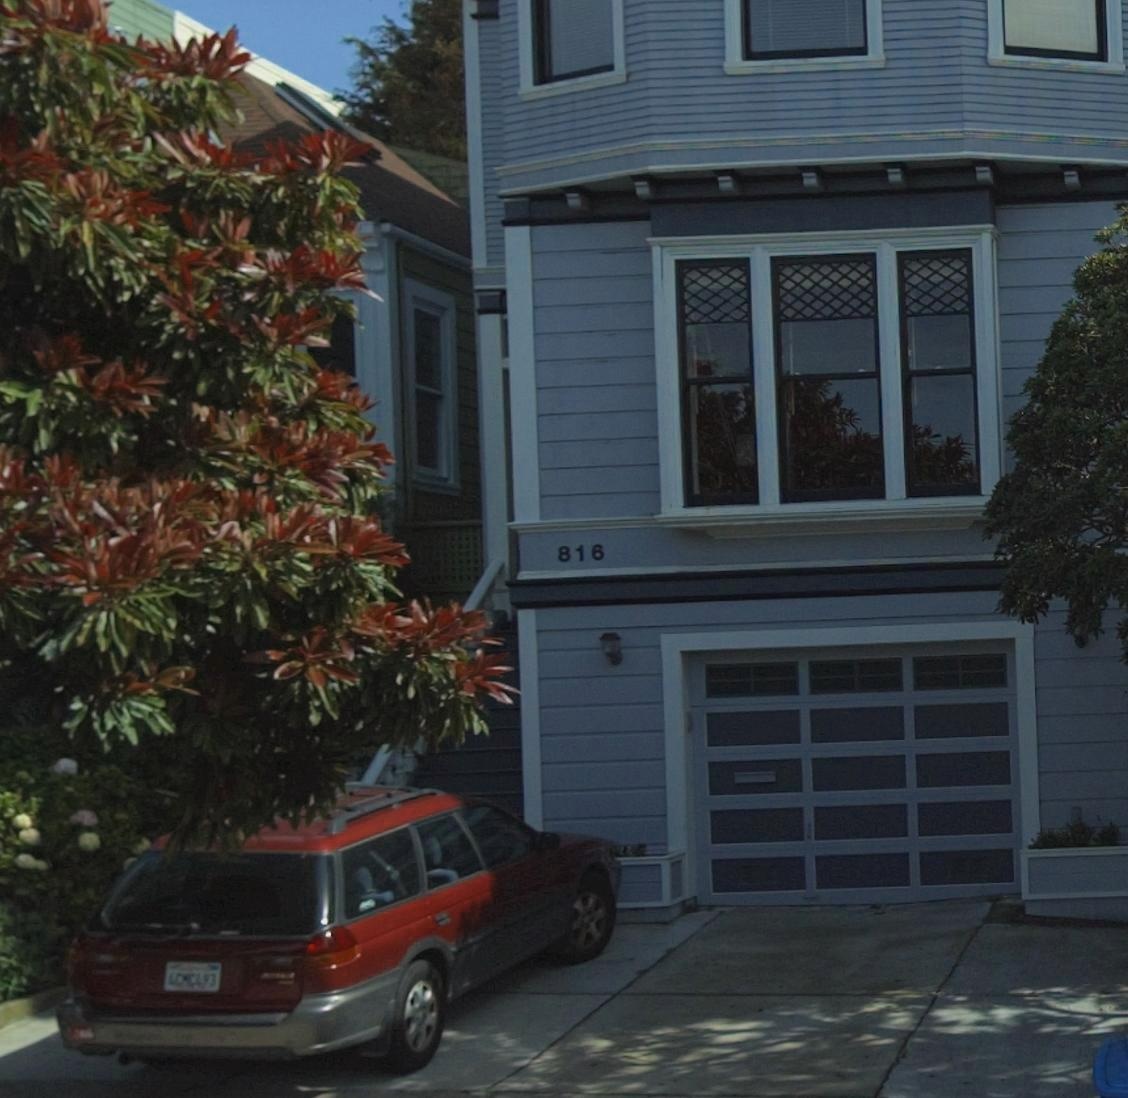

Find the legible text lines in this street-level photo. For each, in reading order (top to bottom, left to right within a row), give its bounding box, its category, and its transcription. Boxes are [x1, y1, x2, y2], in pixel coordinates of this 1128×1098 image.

[556, 541, 608, 565] StreetNumber: 816
[192, 970, 219, 992] None: 493